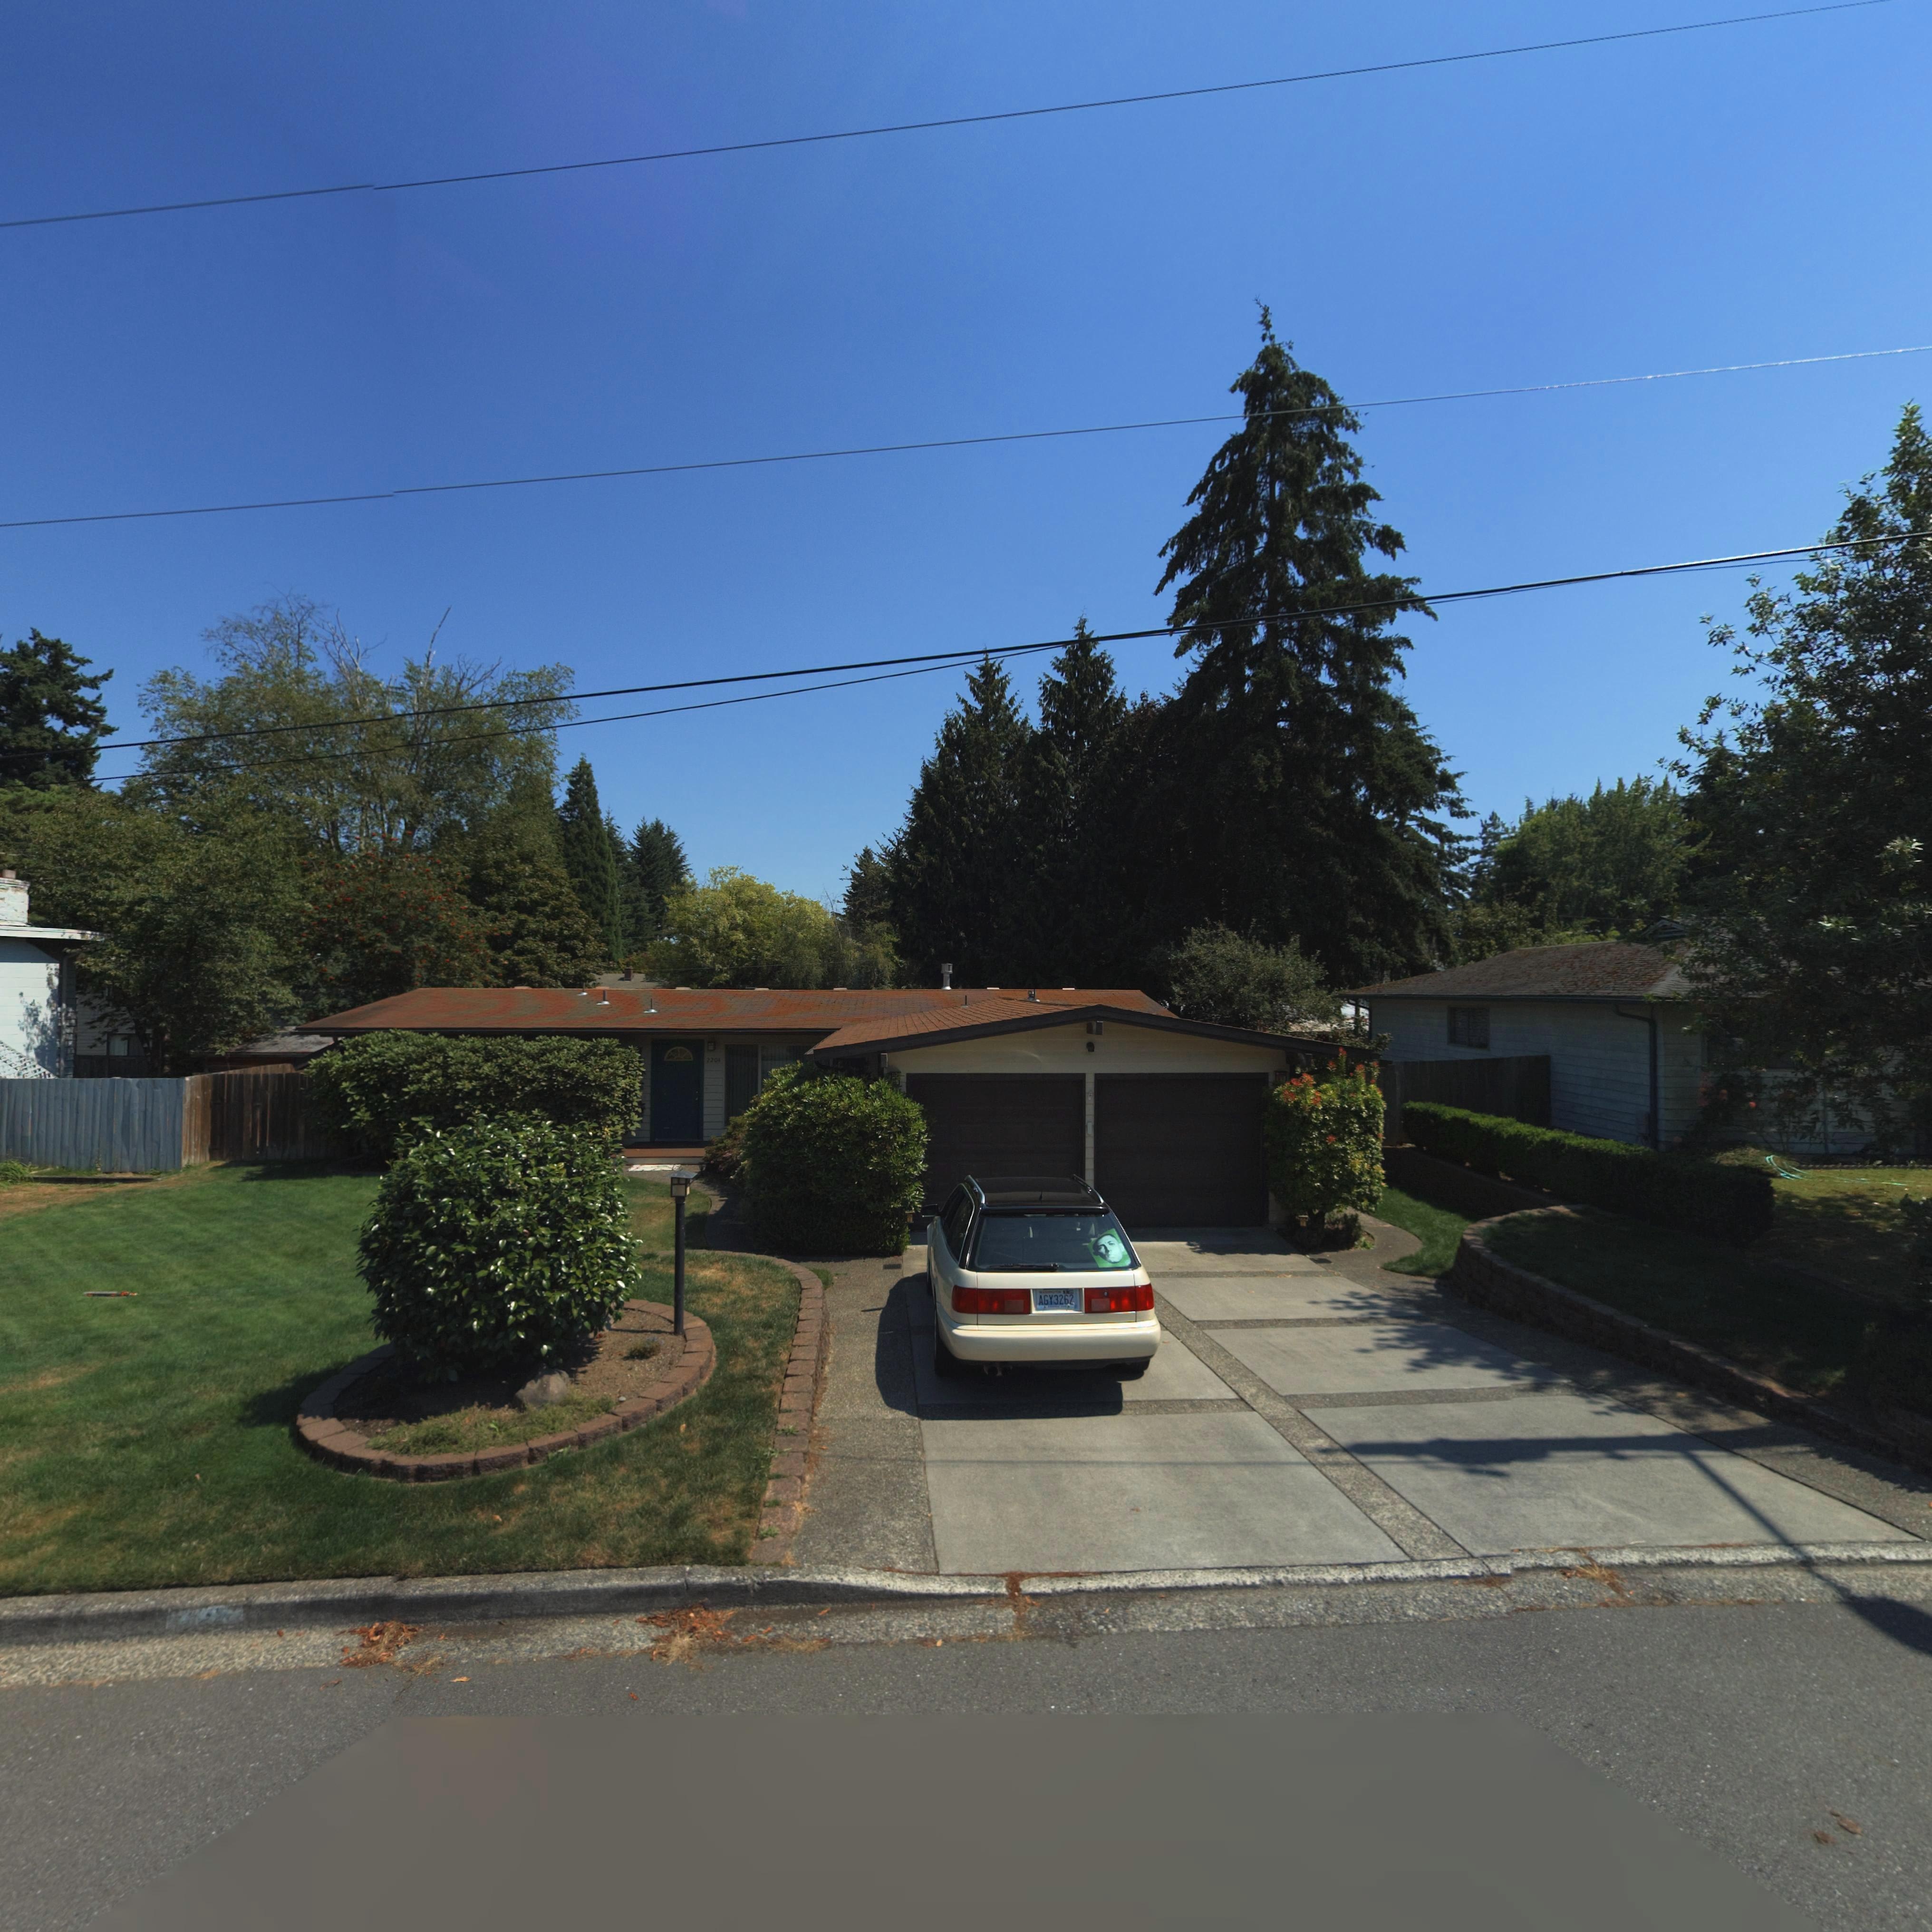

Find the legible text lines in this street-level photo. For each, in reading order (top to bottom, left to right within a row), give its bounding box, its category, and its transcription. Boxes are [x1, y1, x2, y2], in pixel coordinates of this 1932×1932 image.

[705, 1057, 721, 1063] StreetNumber: 2205